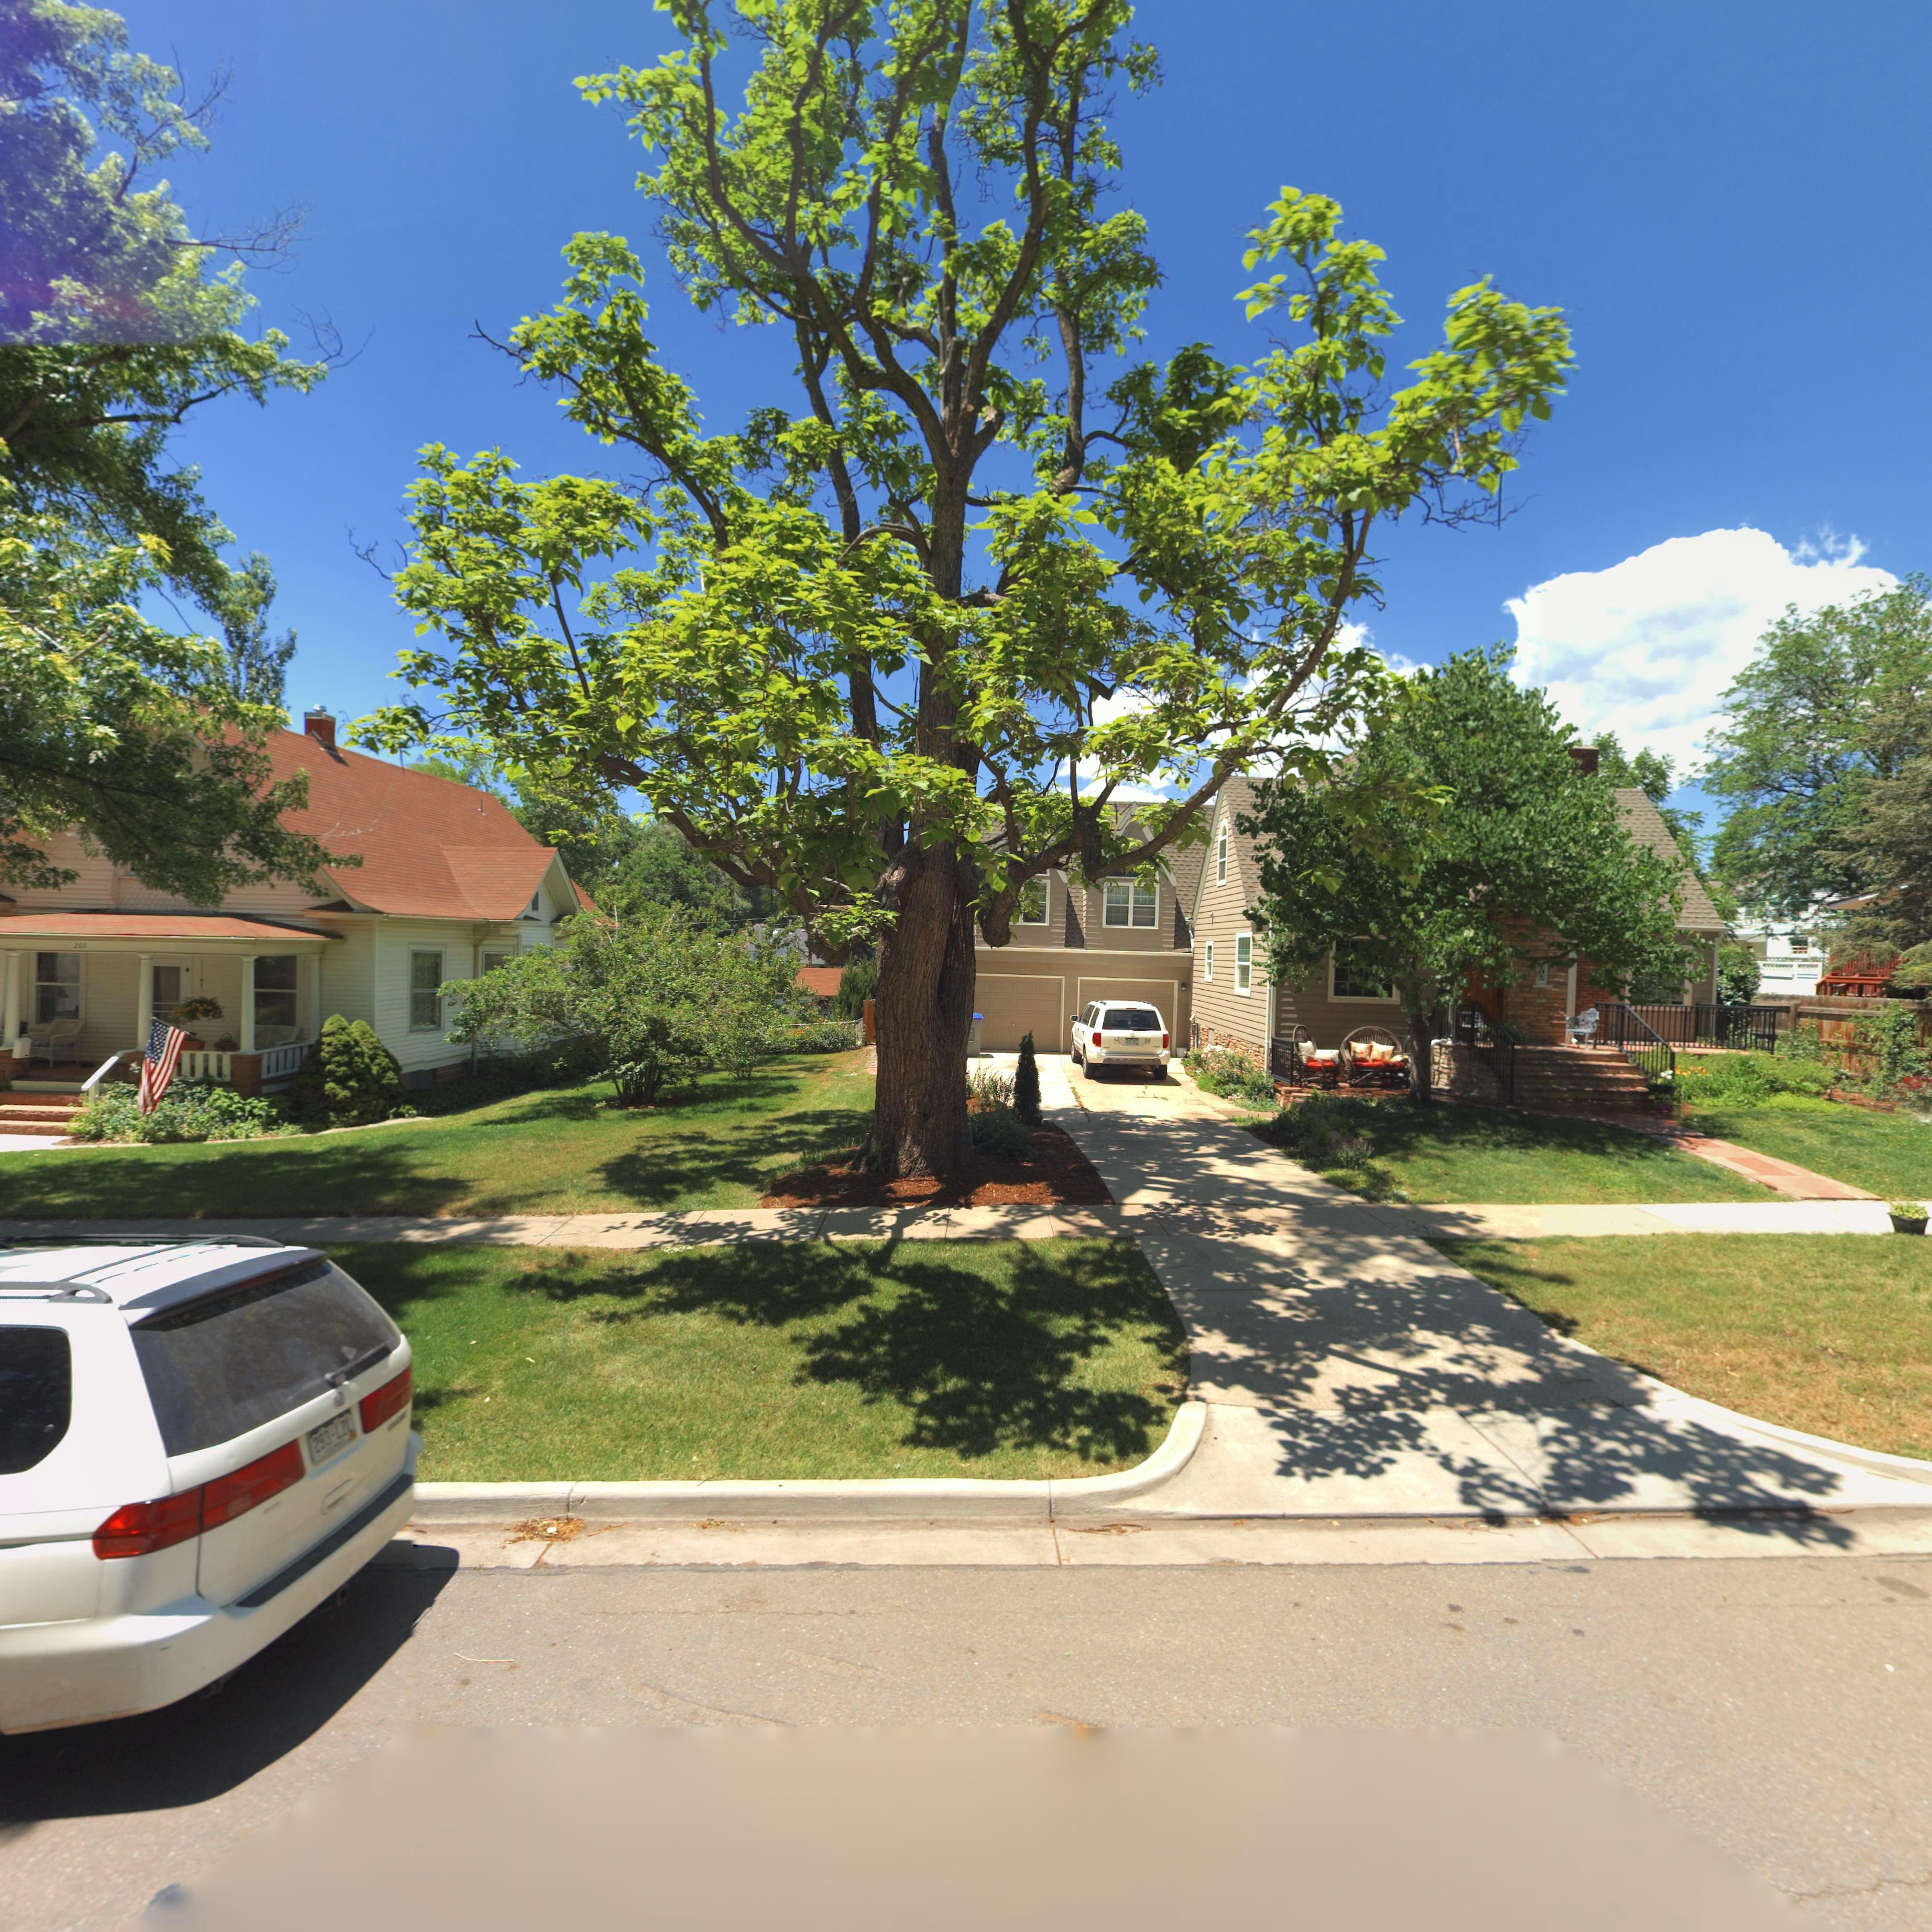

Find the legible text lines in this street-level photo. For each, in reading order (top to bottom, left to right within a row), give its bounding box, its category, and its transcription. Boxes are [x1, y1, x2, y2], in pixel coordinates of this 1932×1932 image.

[74, 942, 87, 948] StreetNumber: 269